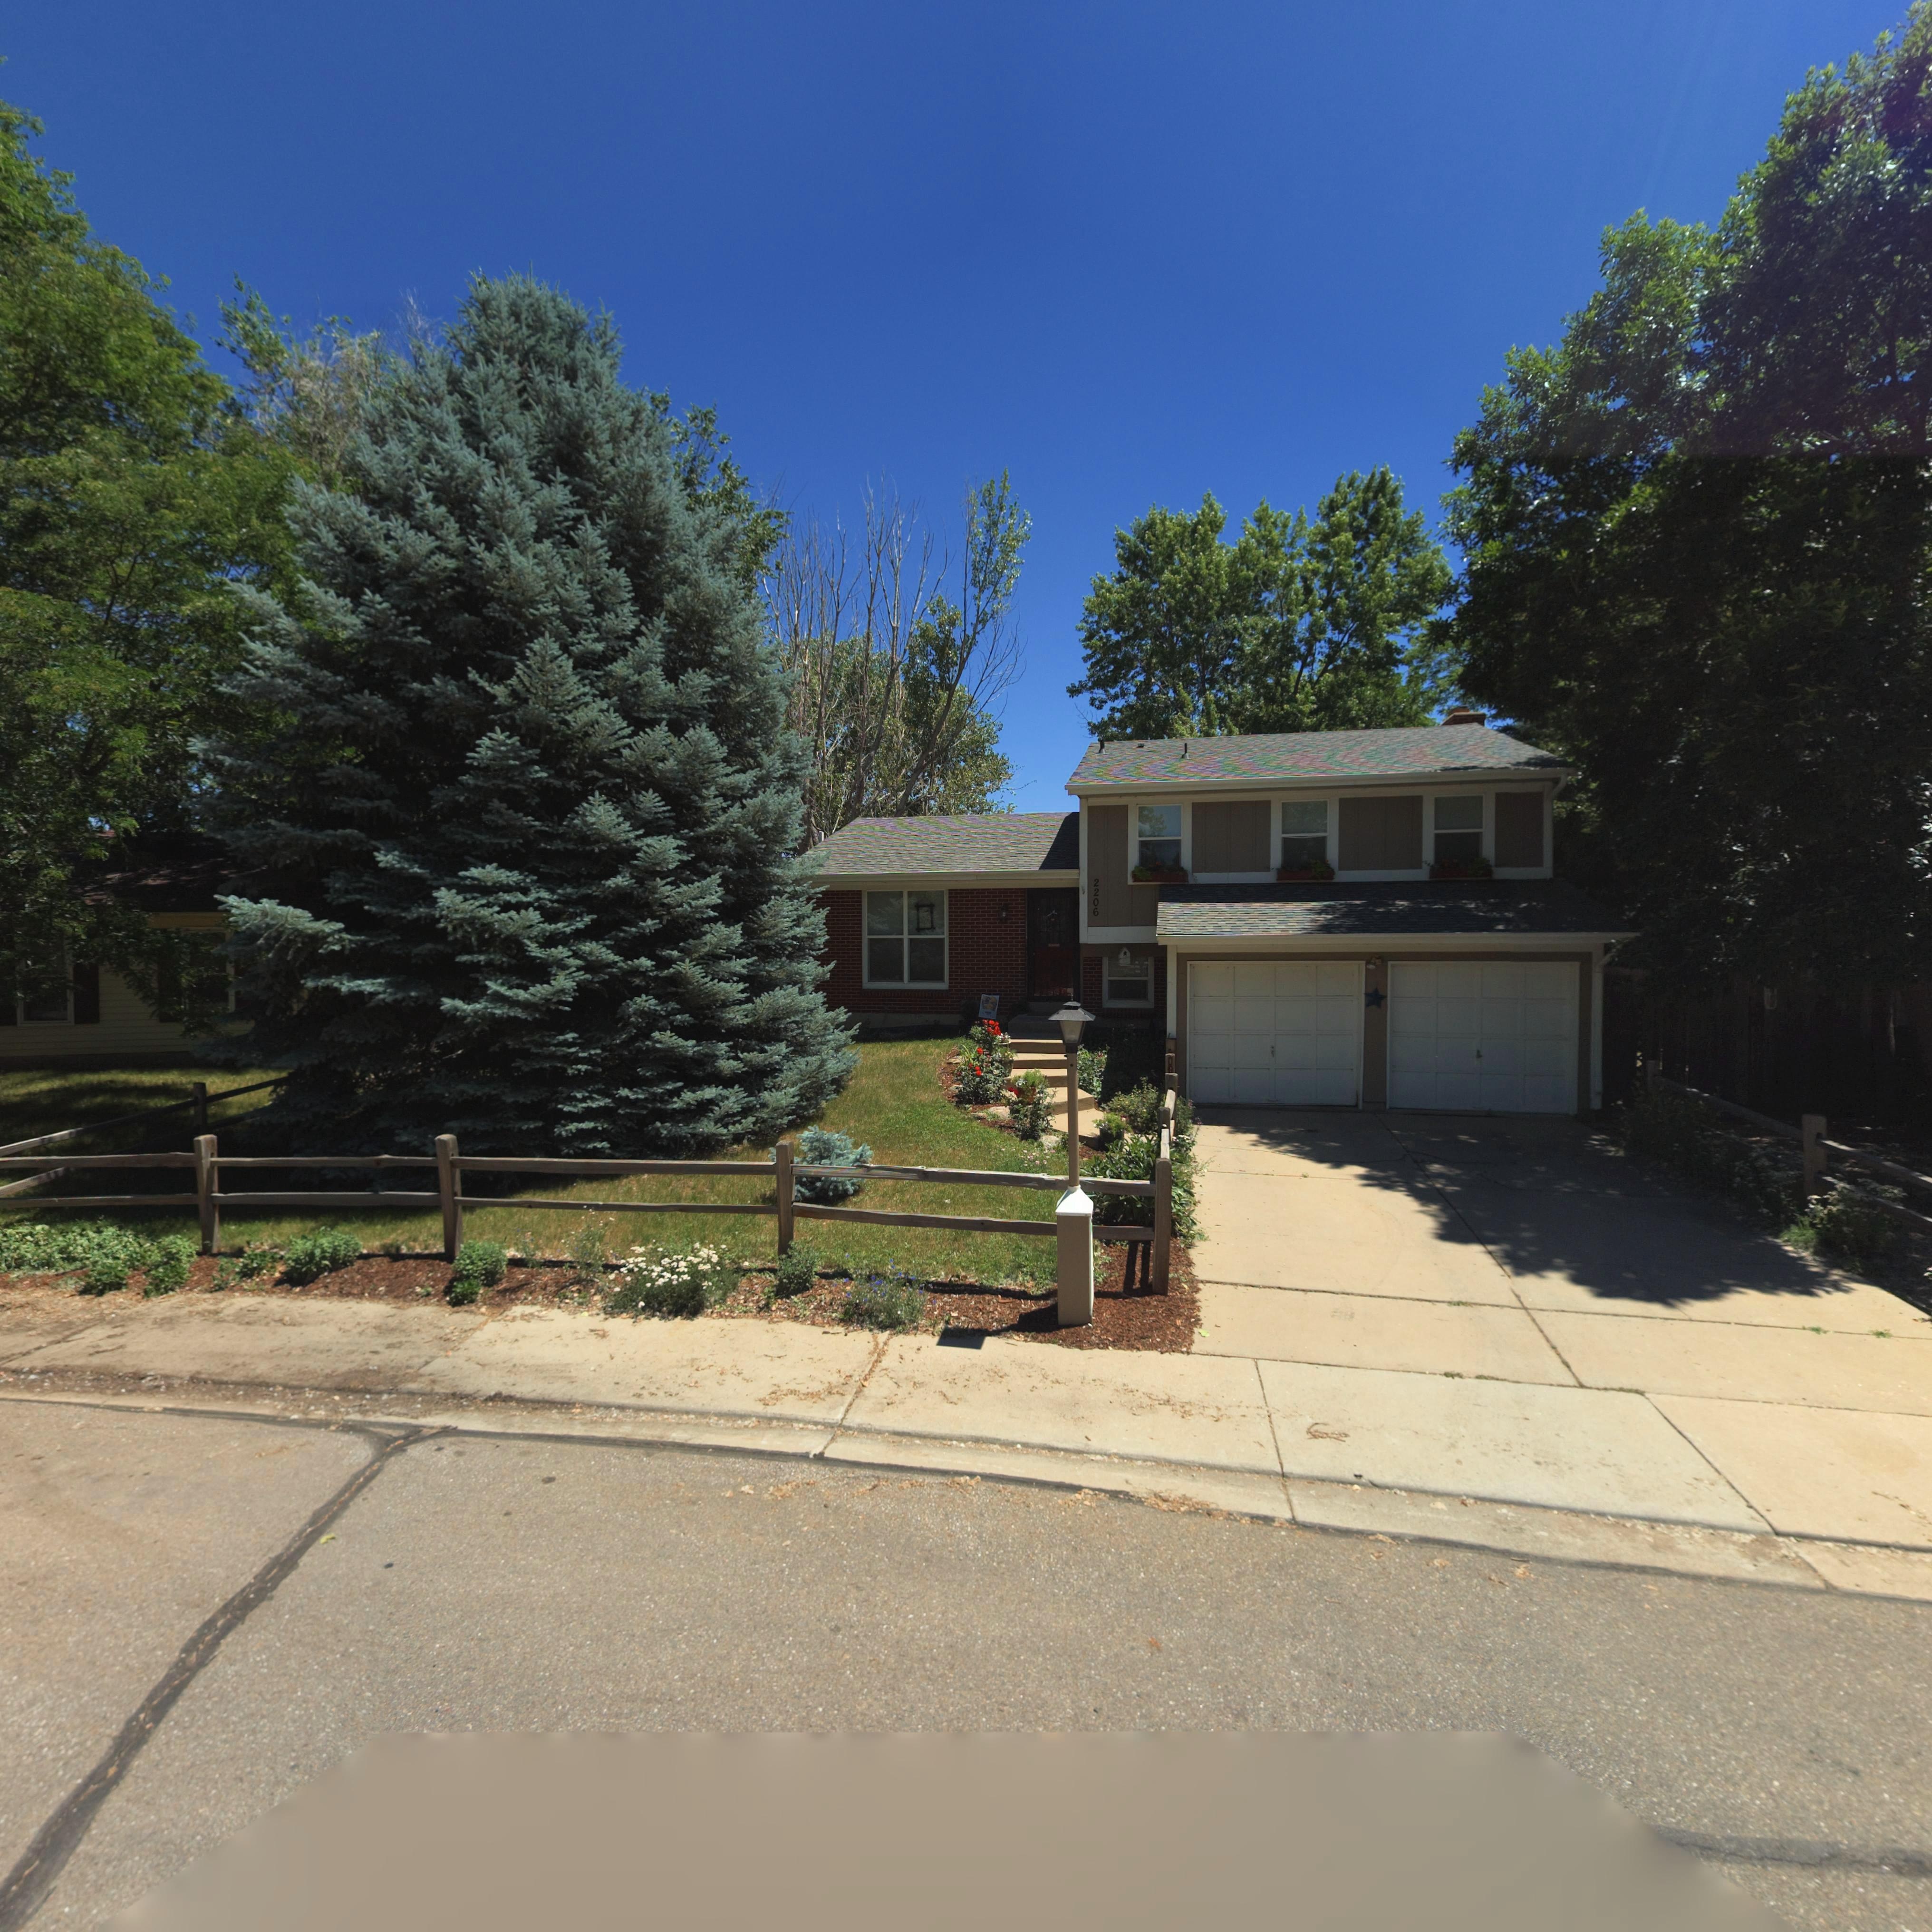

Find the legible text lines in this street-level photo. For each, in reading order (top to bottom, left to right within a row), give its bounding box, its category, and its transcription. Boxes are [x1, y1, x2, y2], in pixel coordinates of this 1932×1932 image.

[1092, 878, 1099, 916] StreetNumber: 2206